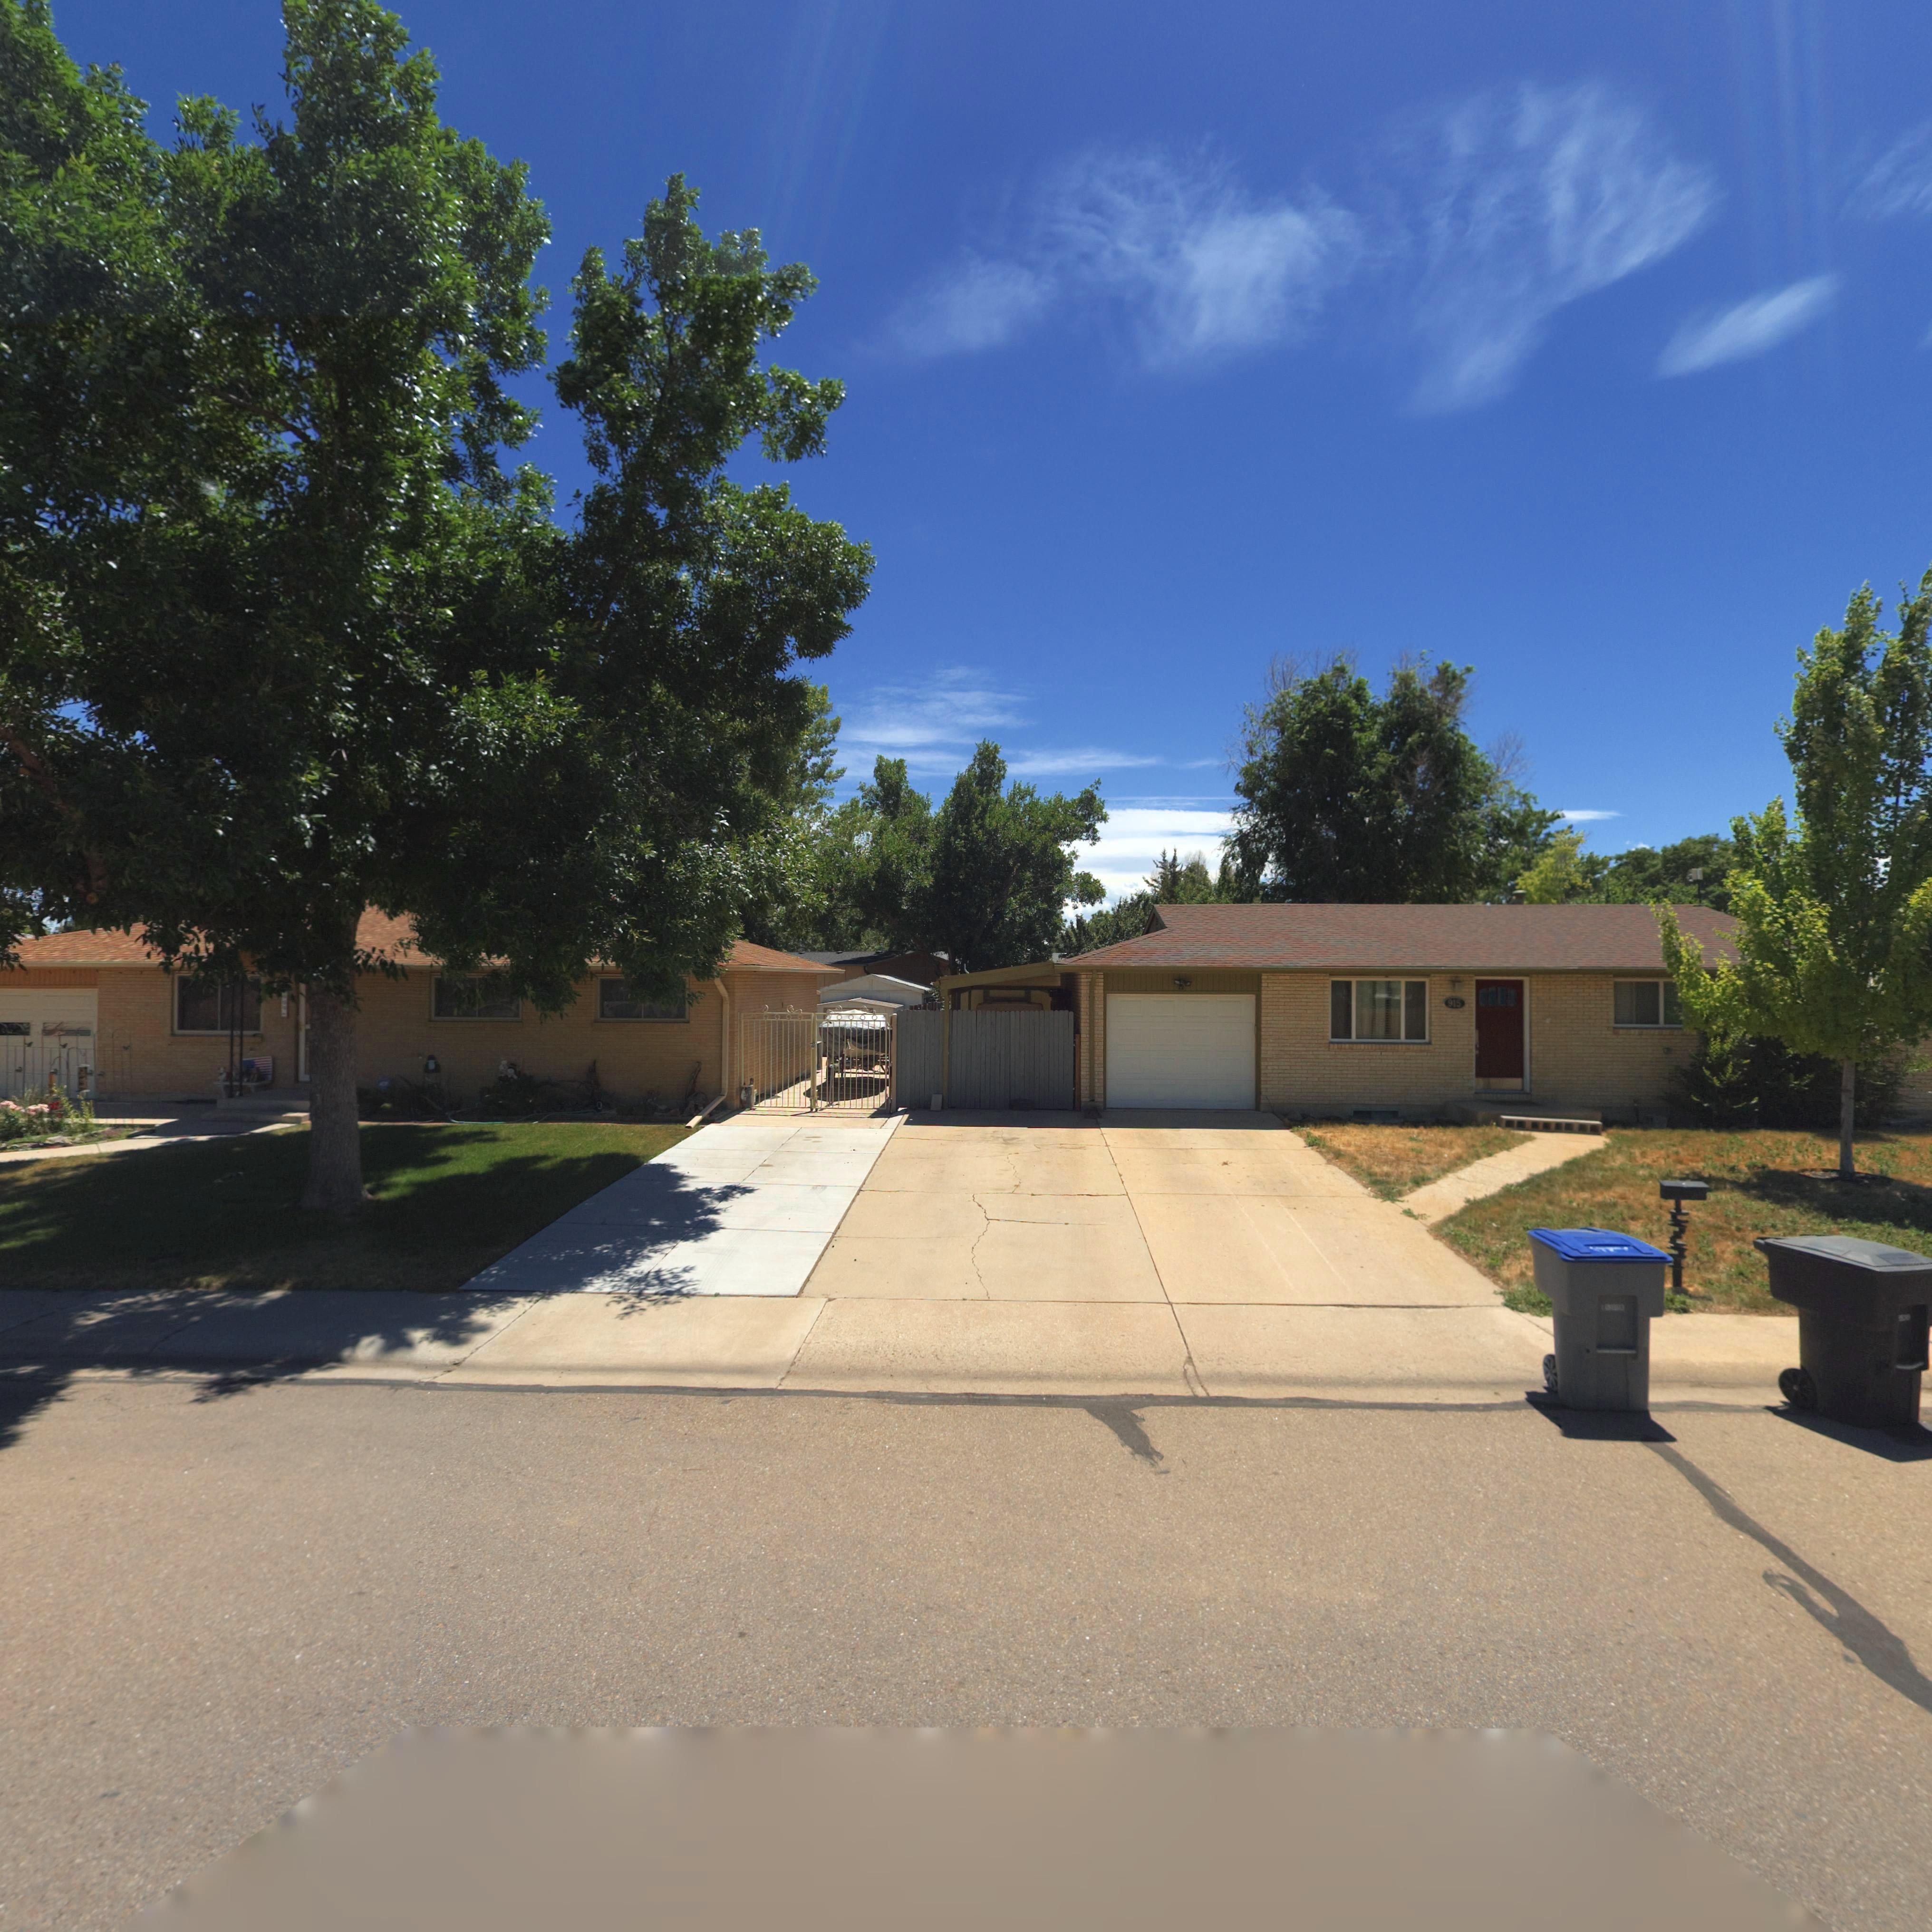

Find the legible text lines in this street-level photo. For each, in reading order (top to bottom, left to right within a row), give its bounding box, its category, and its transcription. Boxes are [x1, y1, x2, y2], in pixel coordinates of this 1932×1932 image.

[1448, 999, 1461, 1007] StreetNumber: 915